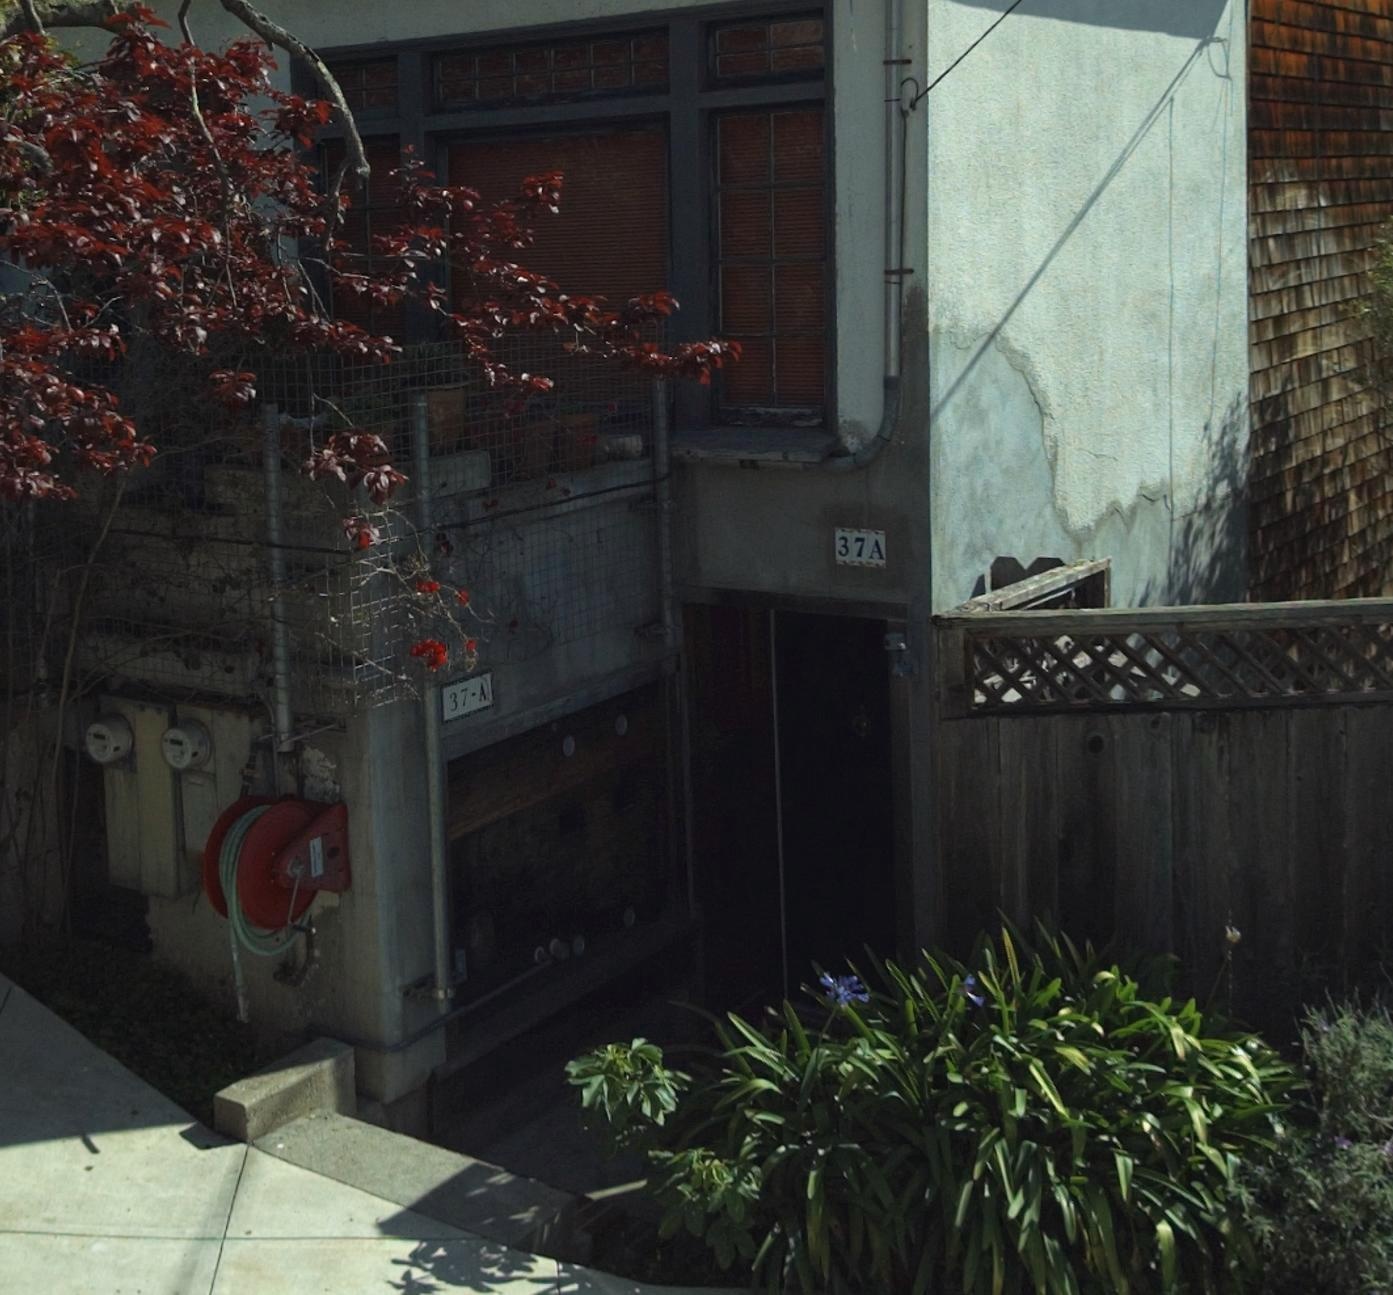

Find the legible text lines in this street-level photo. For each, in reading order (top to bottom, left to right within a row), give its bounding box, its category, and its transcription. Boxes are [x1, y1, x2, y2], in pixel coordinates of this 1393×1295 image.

[835, 534, 885, 561] StreetNumber: 37A
[447, 679, 490, 715] StreetNumber: 37-A